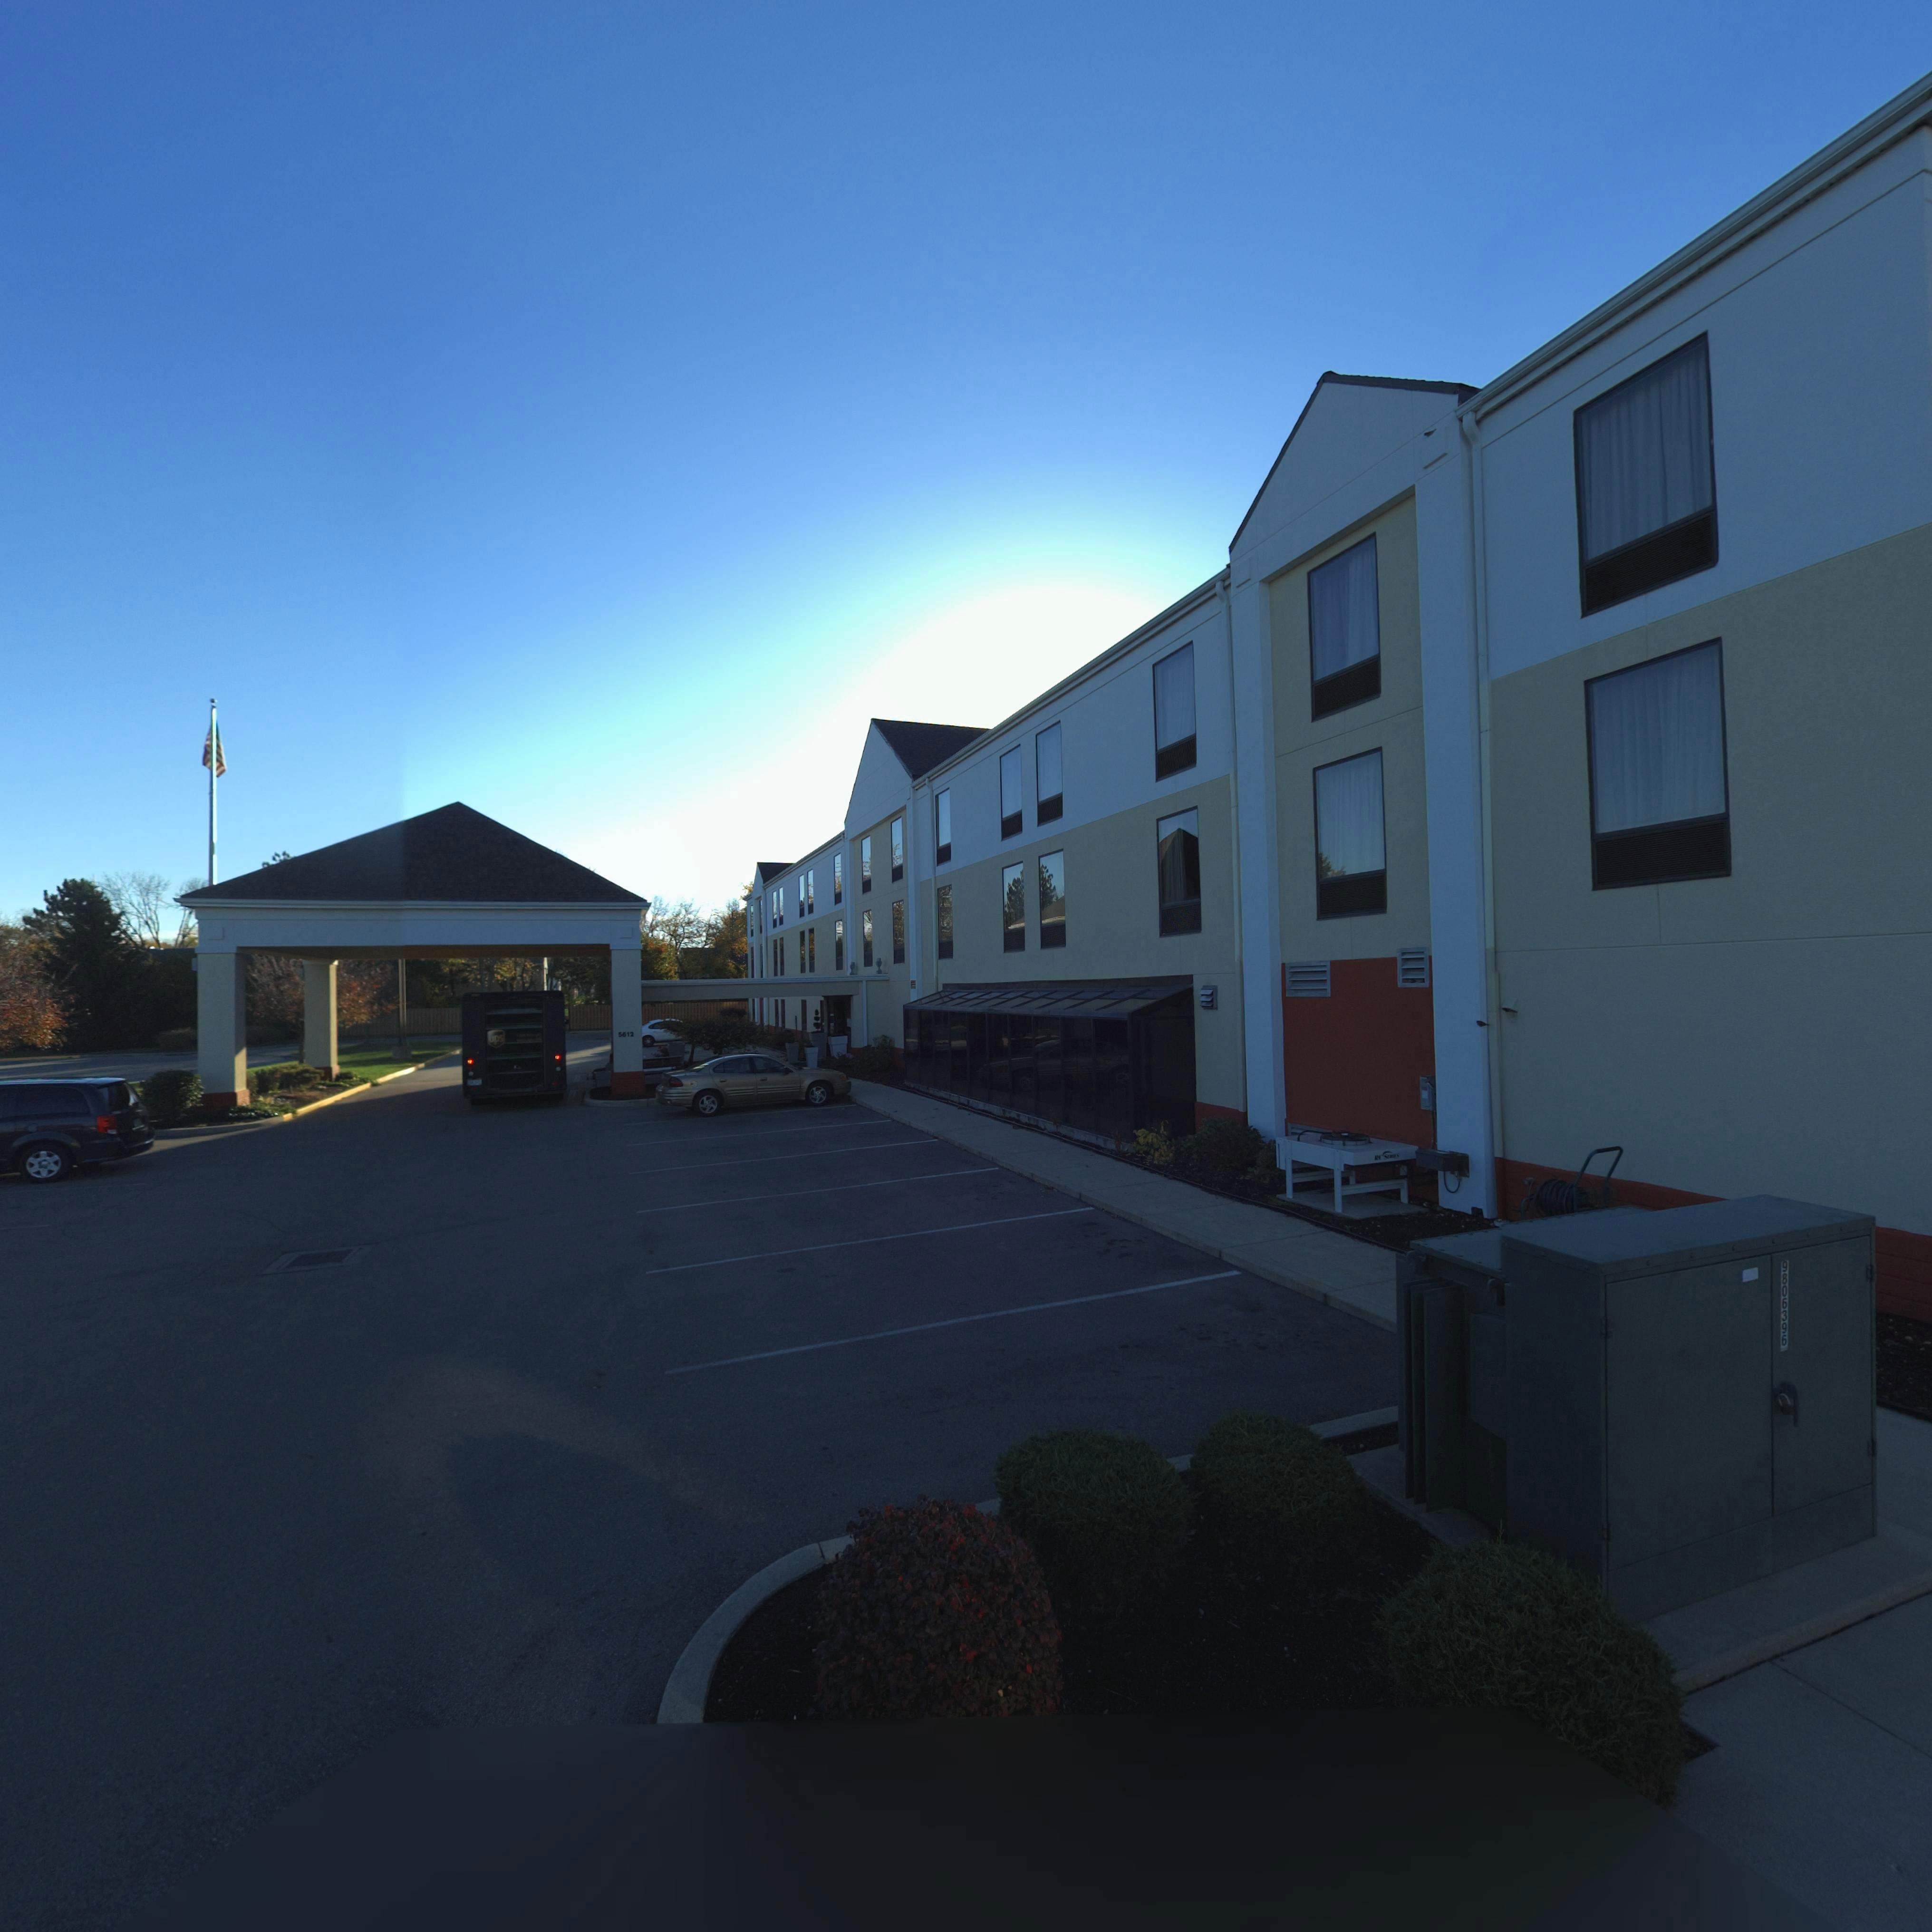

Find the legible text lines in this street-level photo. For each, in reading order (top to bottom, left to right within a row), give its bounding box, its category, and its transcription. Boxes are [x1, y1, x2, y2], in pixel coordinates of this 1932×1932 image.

[618, 1031, 635, 1038] StreetNumber: 5612